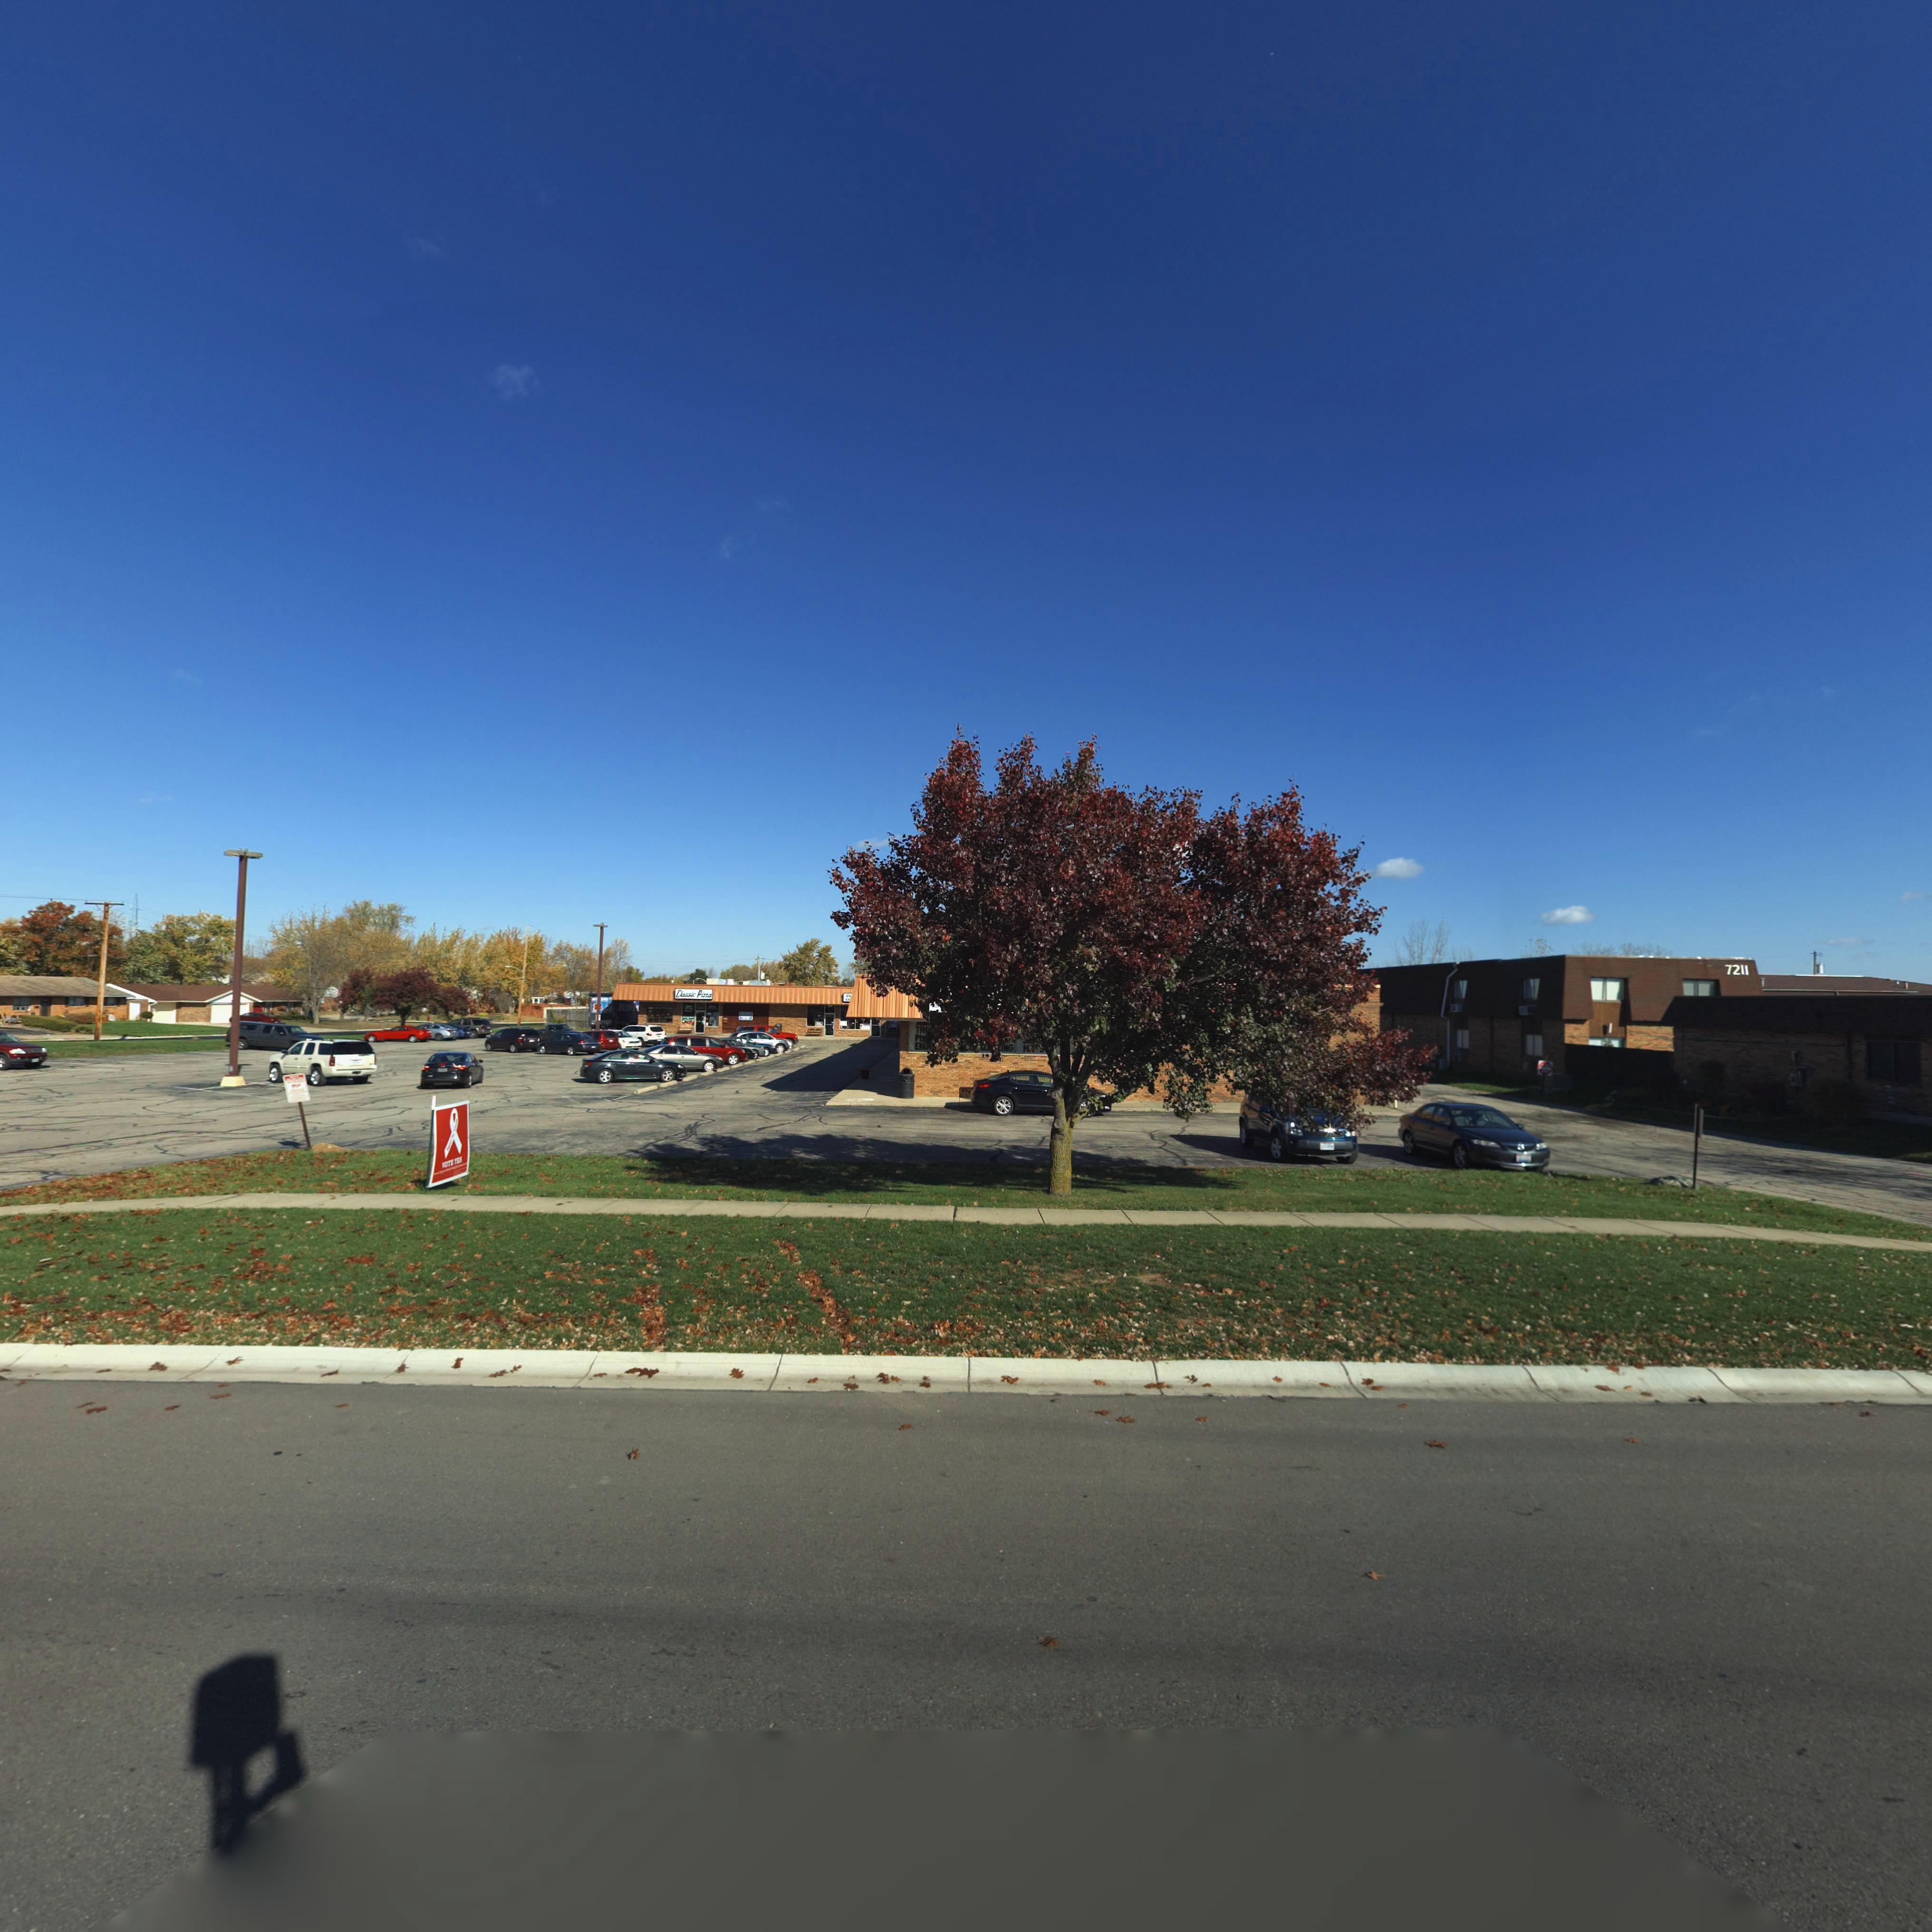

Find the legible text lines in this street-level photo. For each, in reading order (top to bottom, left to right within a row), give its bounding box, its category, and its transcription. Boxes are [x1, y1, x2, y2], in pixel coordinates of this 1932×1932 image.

[1724, 964, 1749, 975] StreetNumber: 7211
[675, 989, 713, 999] BusinessName: Cla*sic Pizza